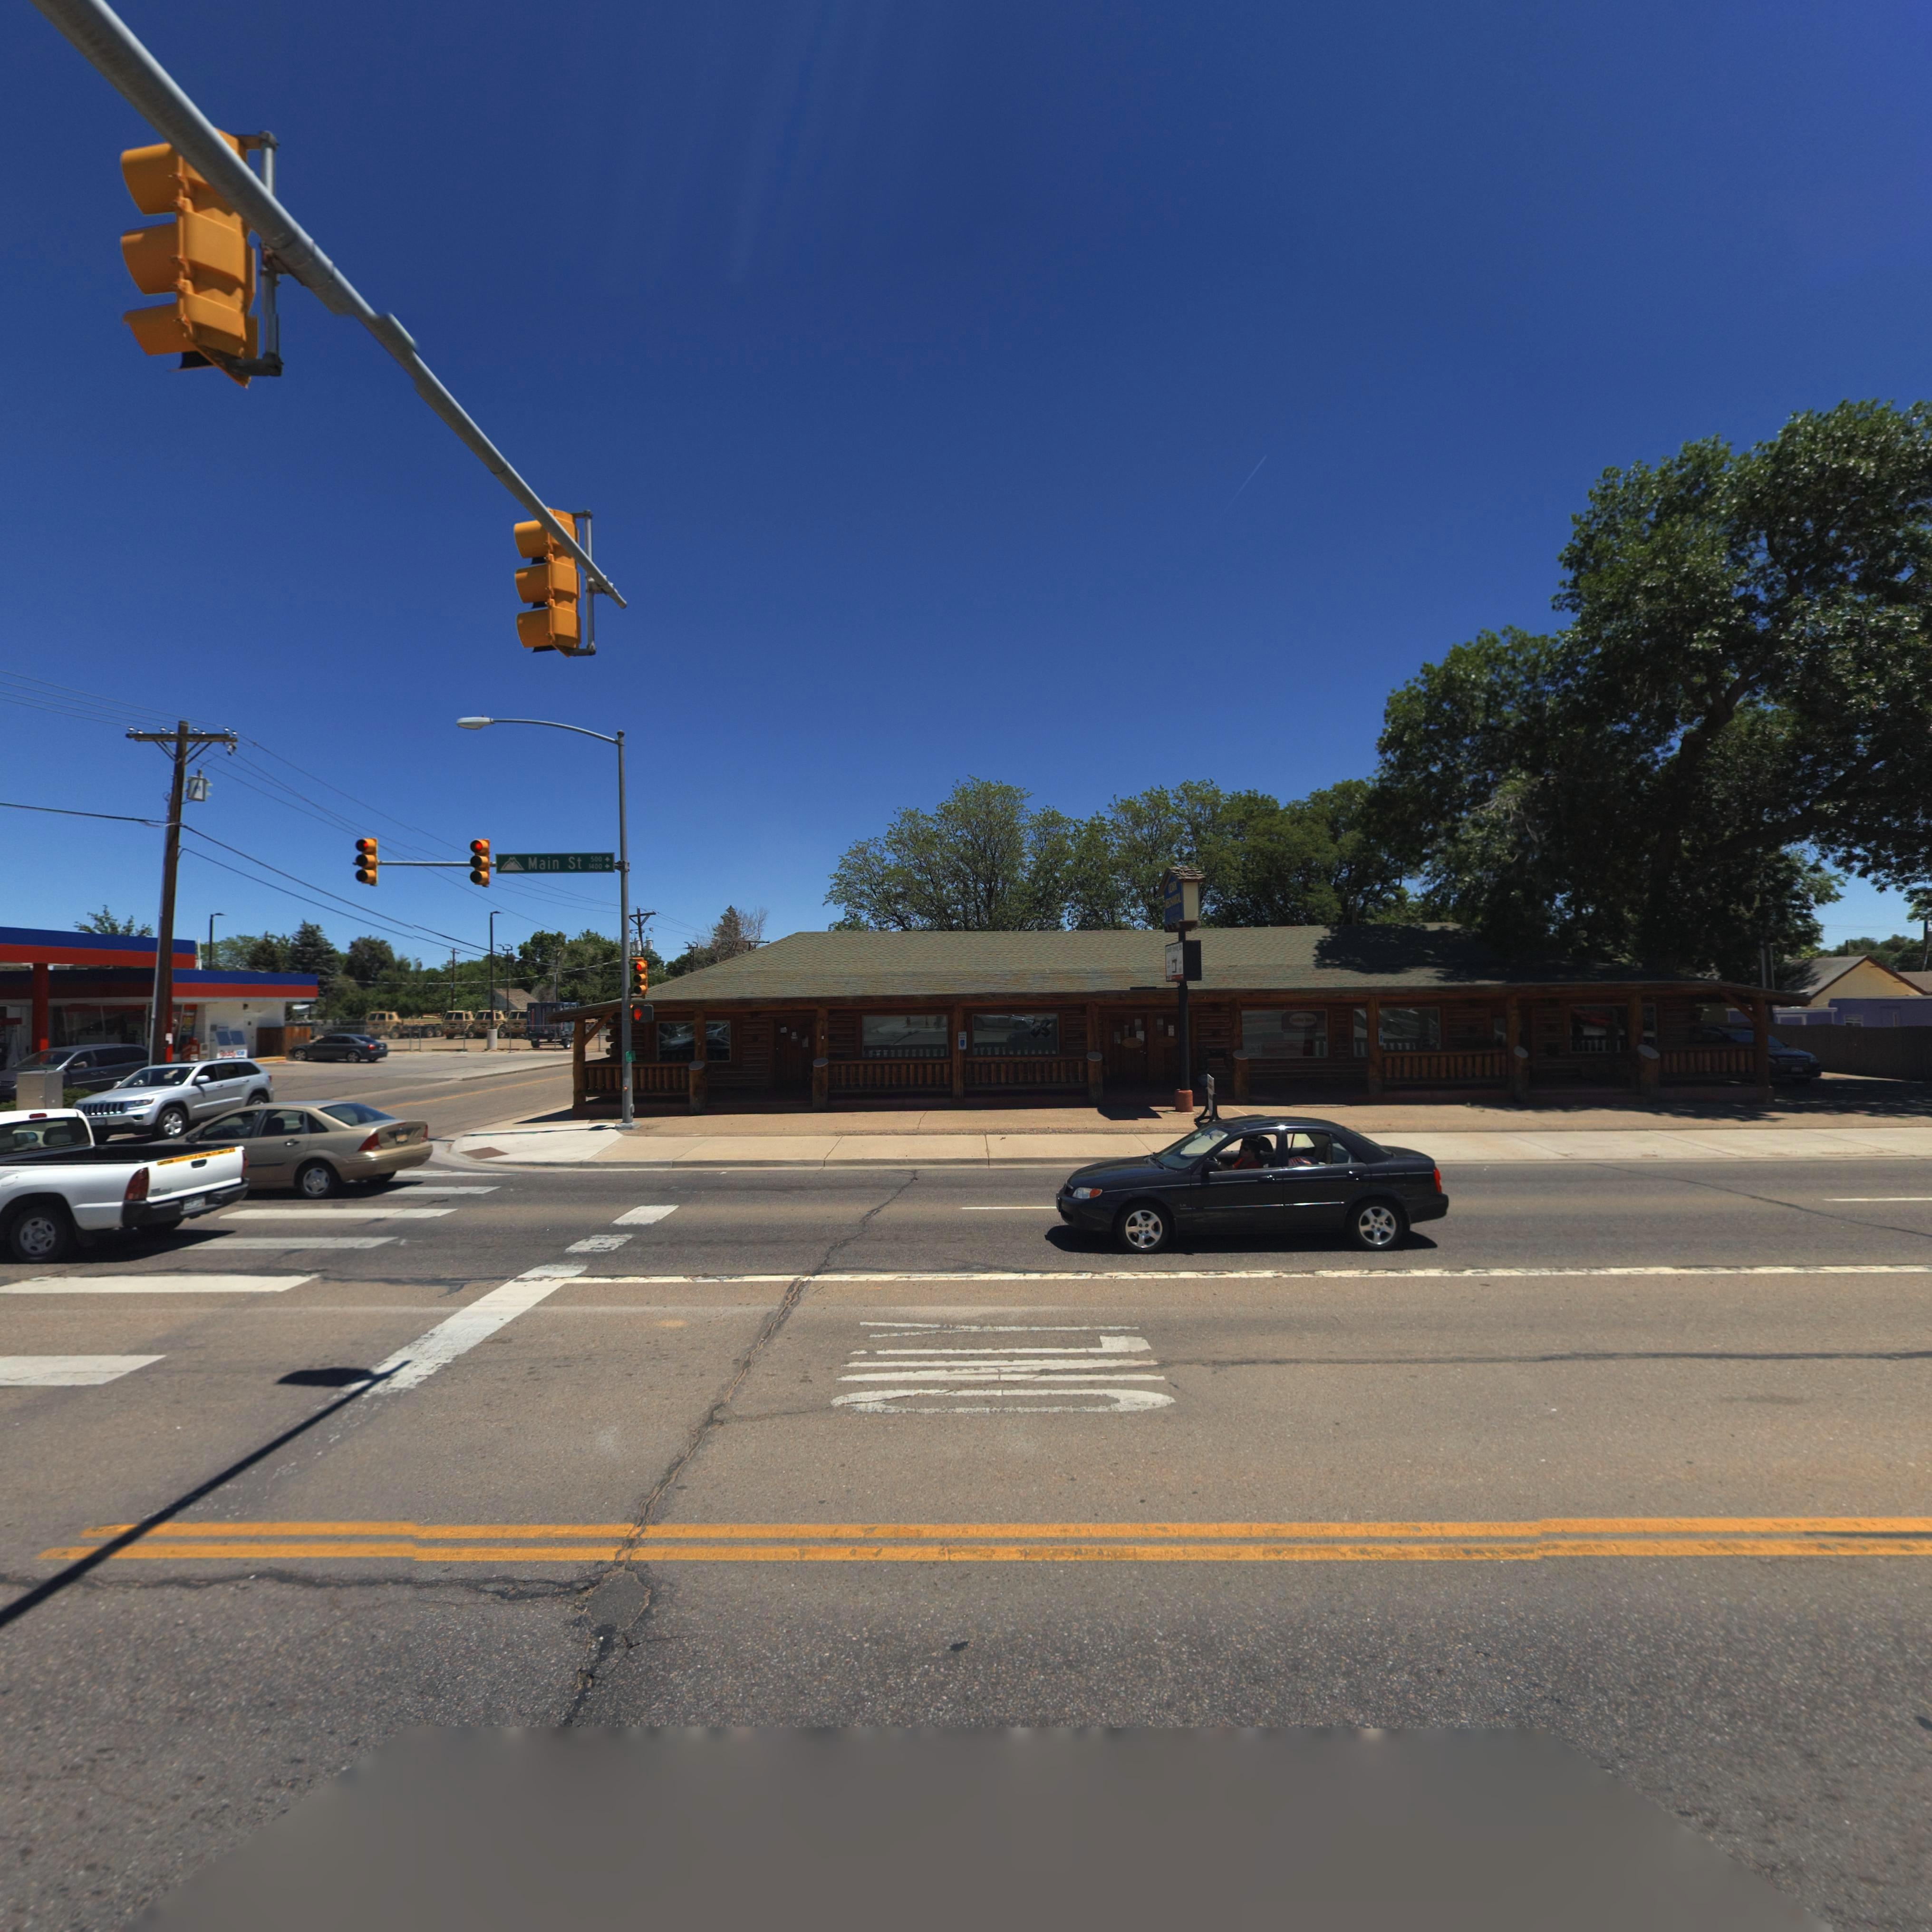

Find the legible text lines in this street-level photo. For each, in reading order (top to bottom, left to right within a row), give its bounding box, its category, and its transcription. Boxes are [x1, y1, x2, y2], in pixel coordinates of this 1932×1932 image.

[590, 855, 602, 862] StreetNumberRange: 500
[527, 856, 584, 870] StreetName: Main St
[588, 862, 611, 869] StreetNumberRange: 1400->